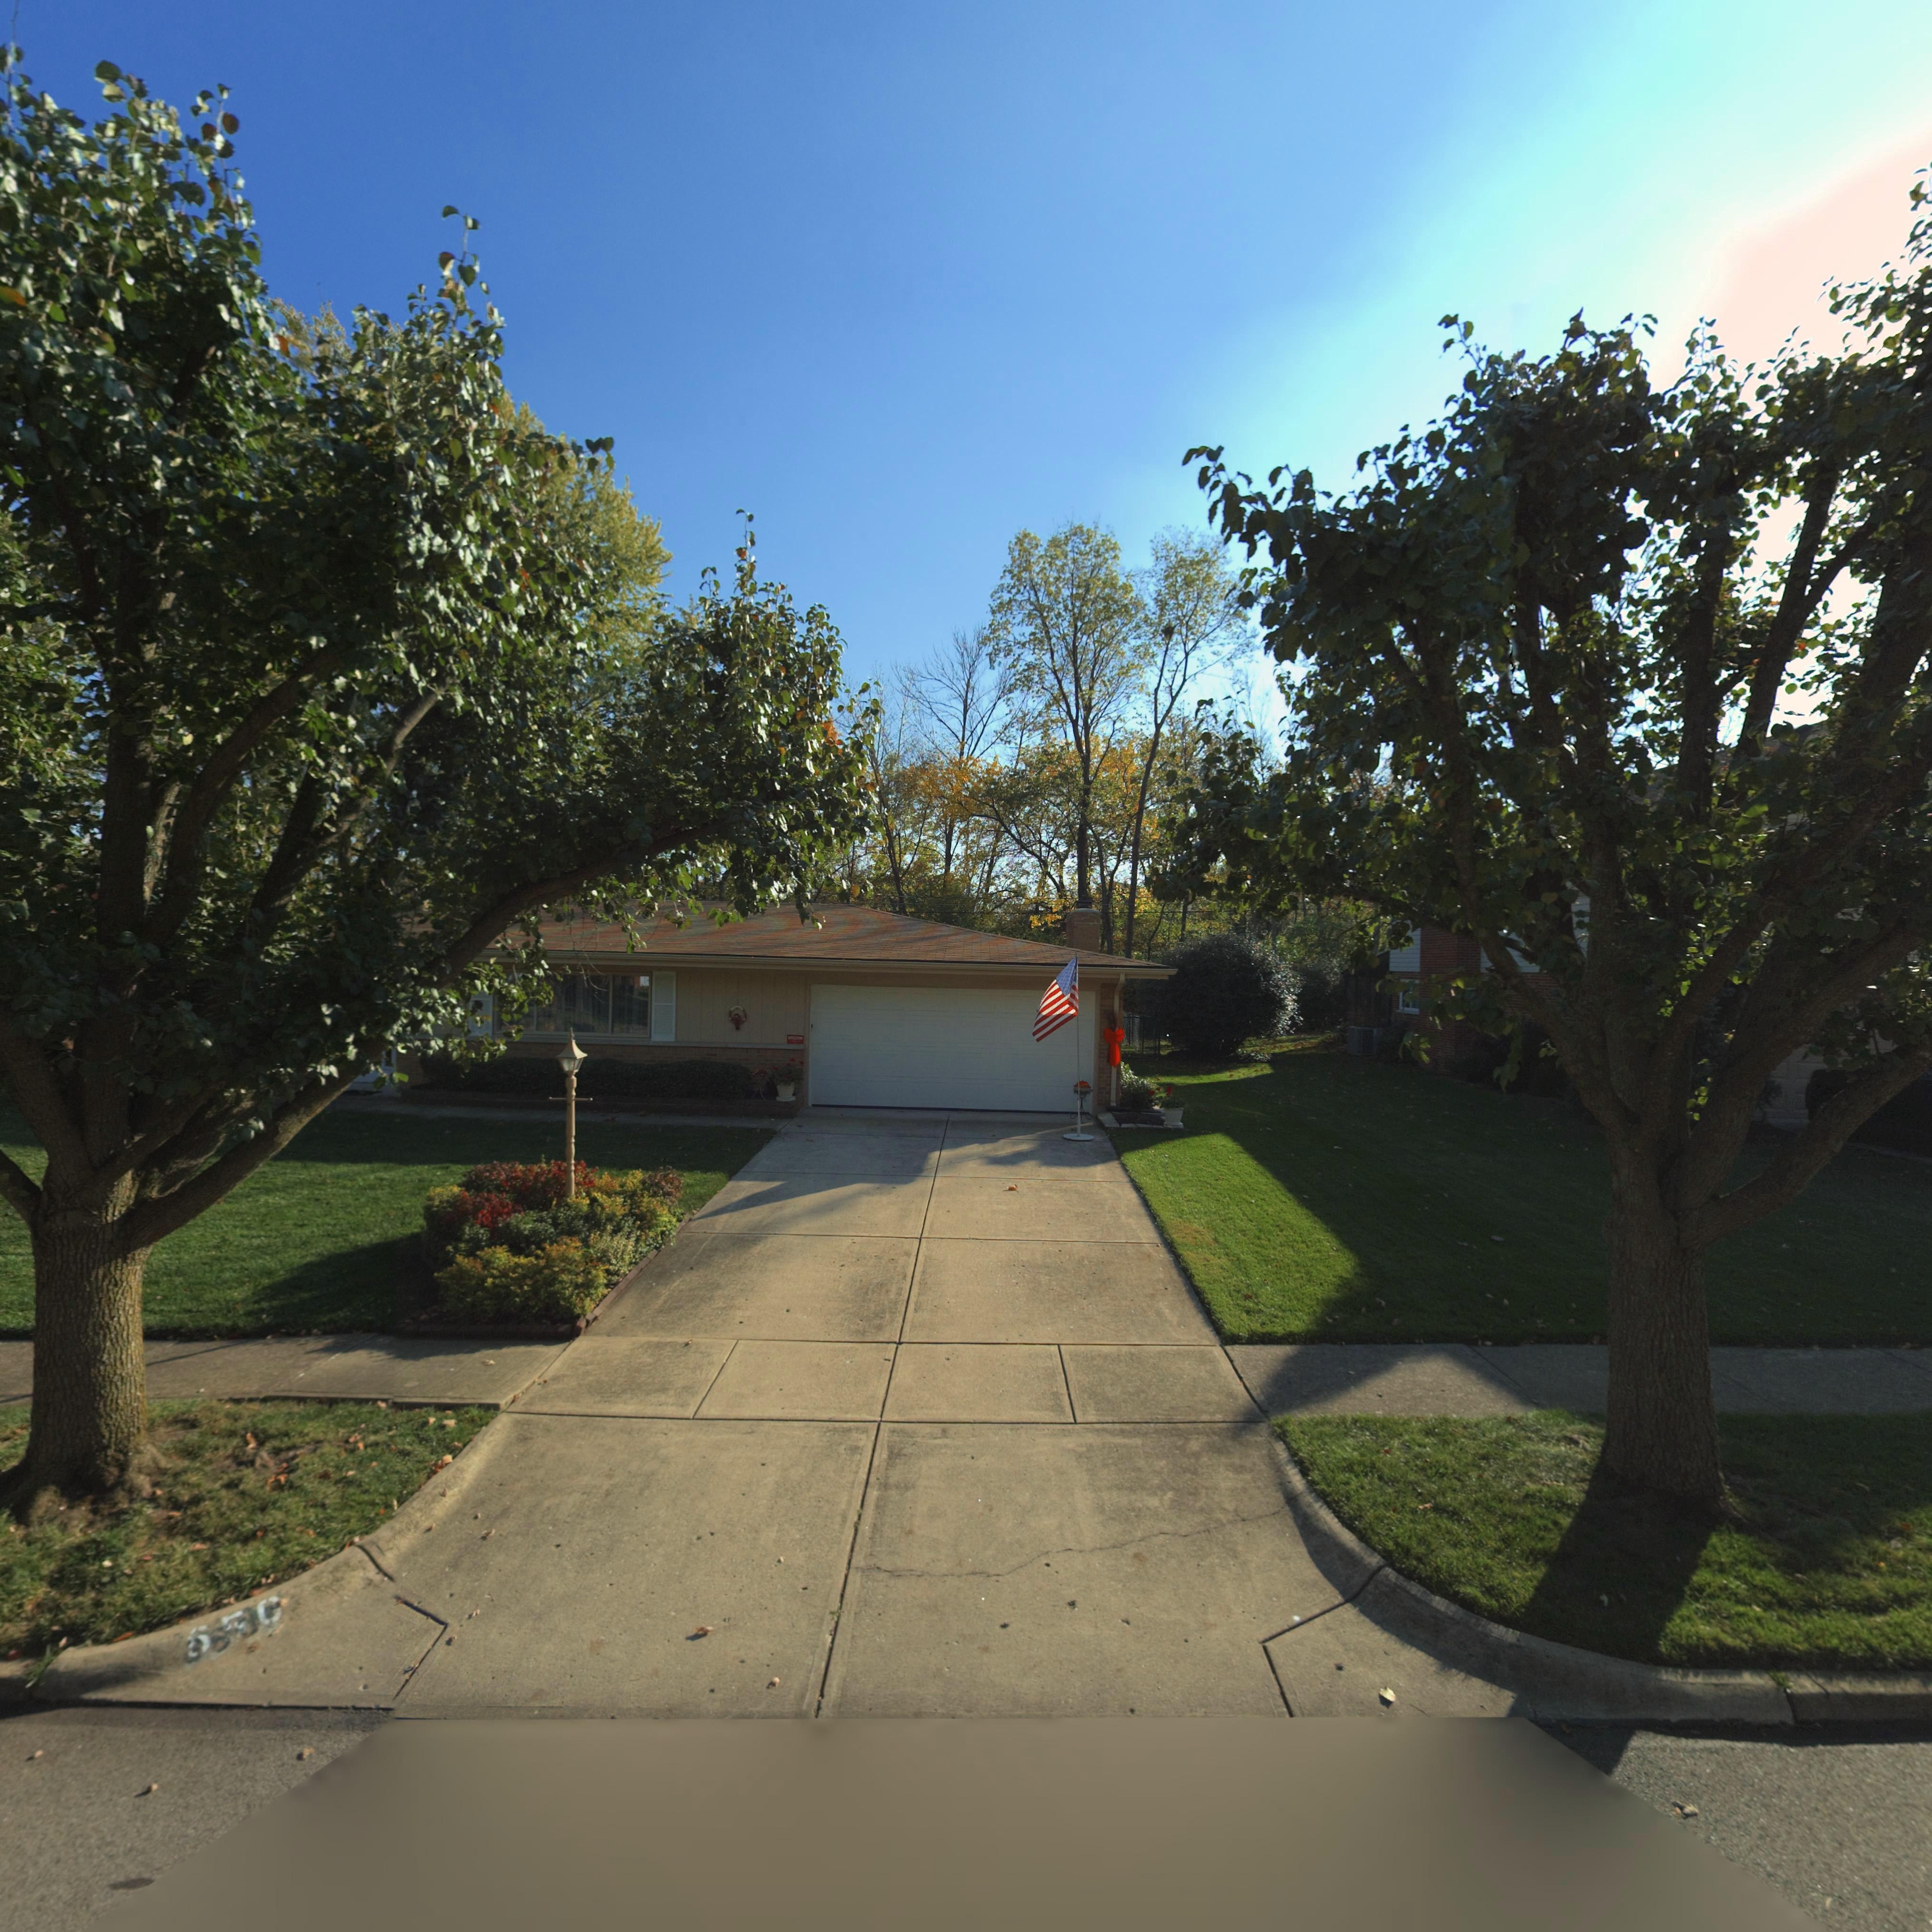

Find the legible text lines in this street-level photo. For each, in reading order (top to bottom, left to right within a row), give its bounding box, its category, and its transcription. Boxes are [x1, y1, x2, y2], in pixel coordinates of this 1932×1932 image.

[185, 1593, 285, 1662] StreetNumber: 650